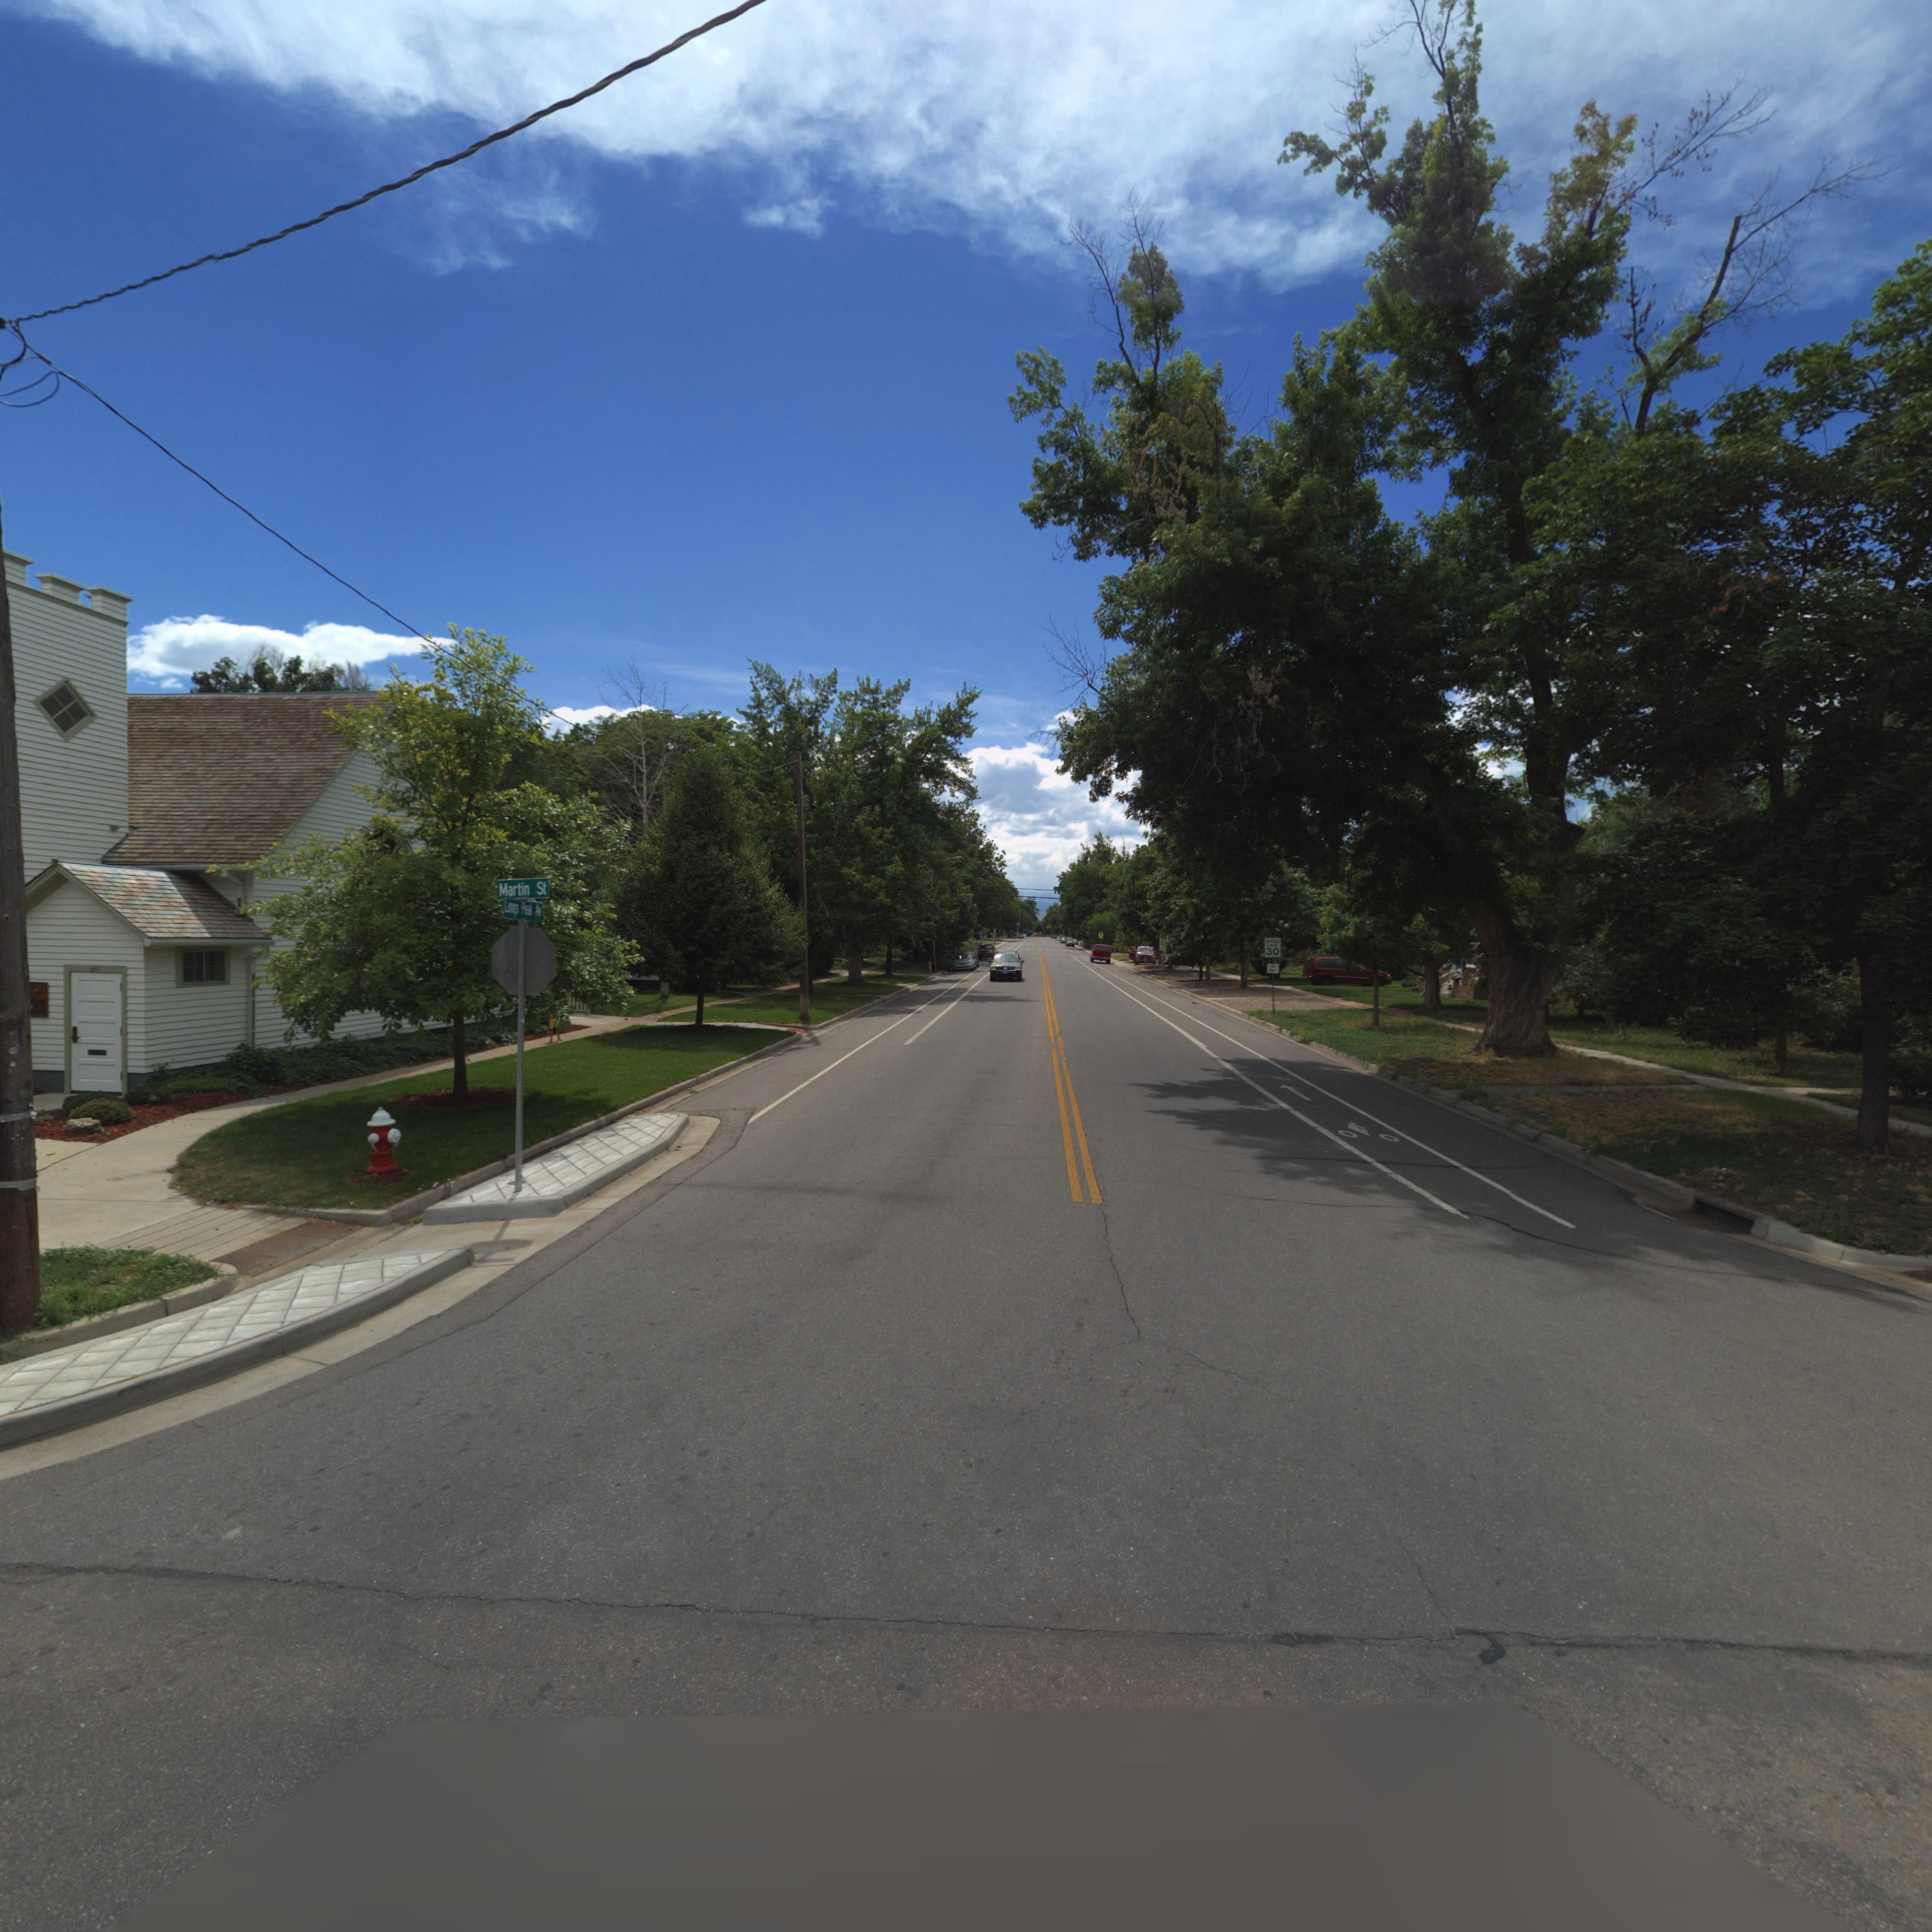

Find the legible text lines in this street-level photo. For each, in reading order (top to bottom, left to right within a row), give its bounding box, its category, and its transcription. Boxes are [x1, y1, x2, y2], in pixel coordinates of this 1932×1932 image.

[497, 880, 548, 898] StreetName: Martin St
[503, 898, 542, 918] StreetName: Longs Peak Av